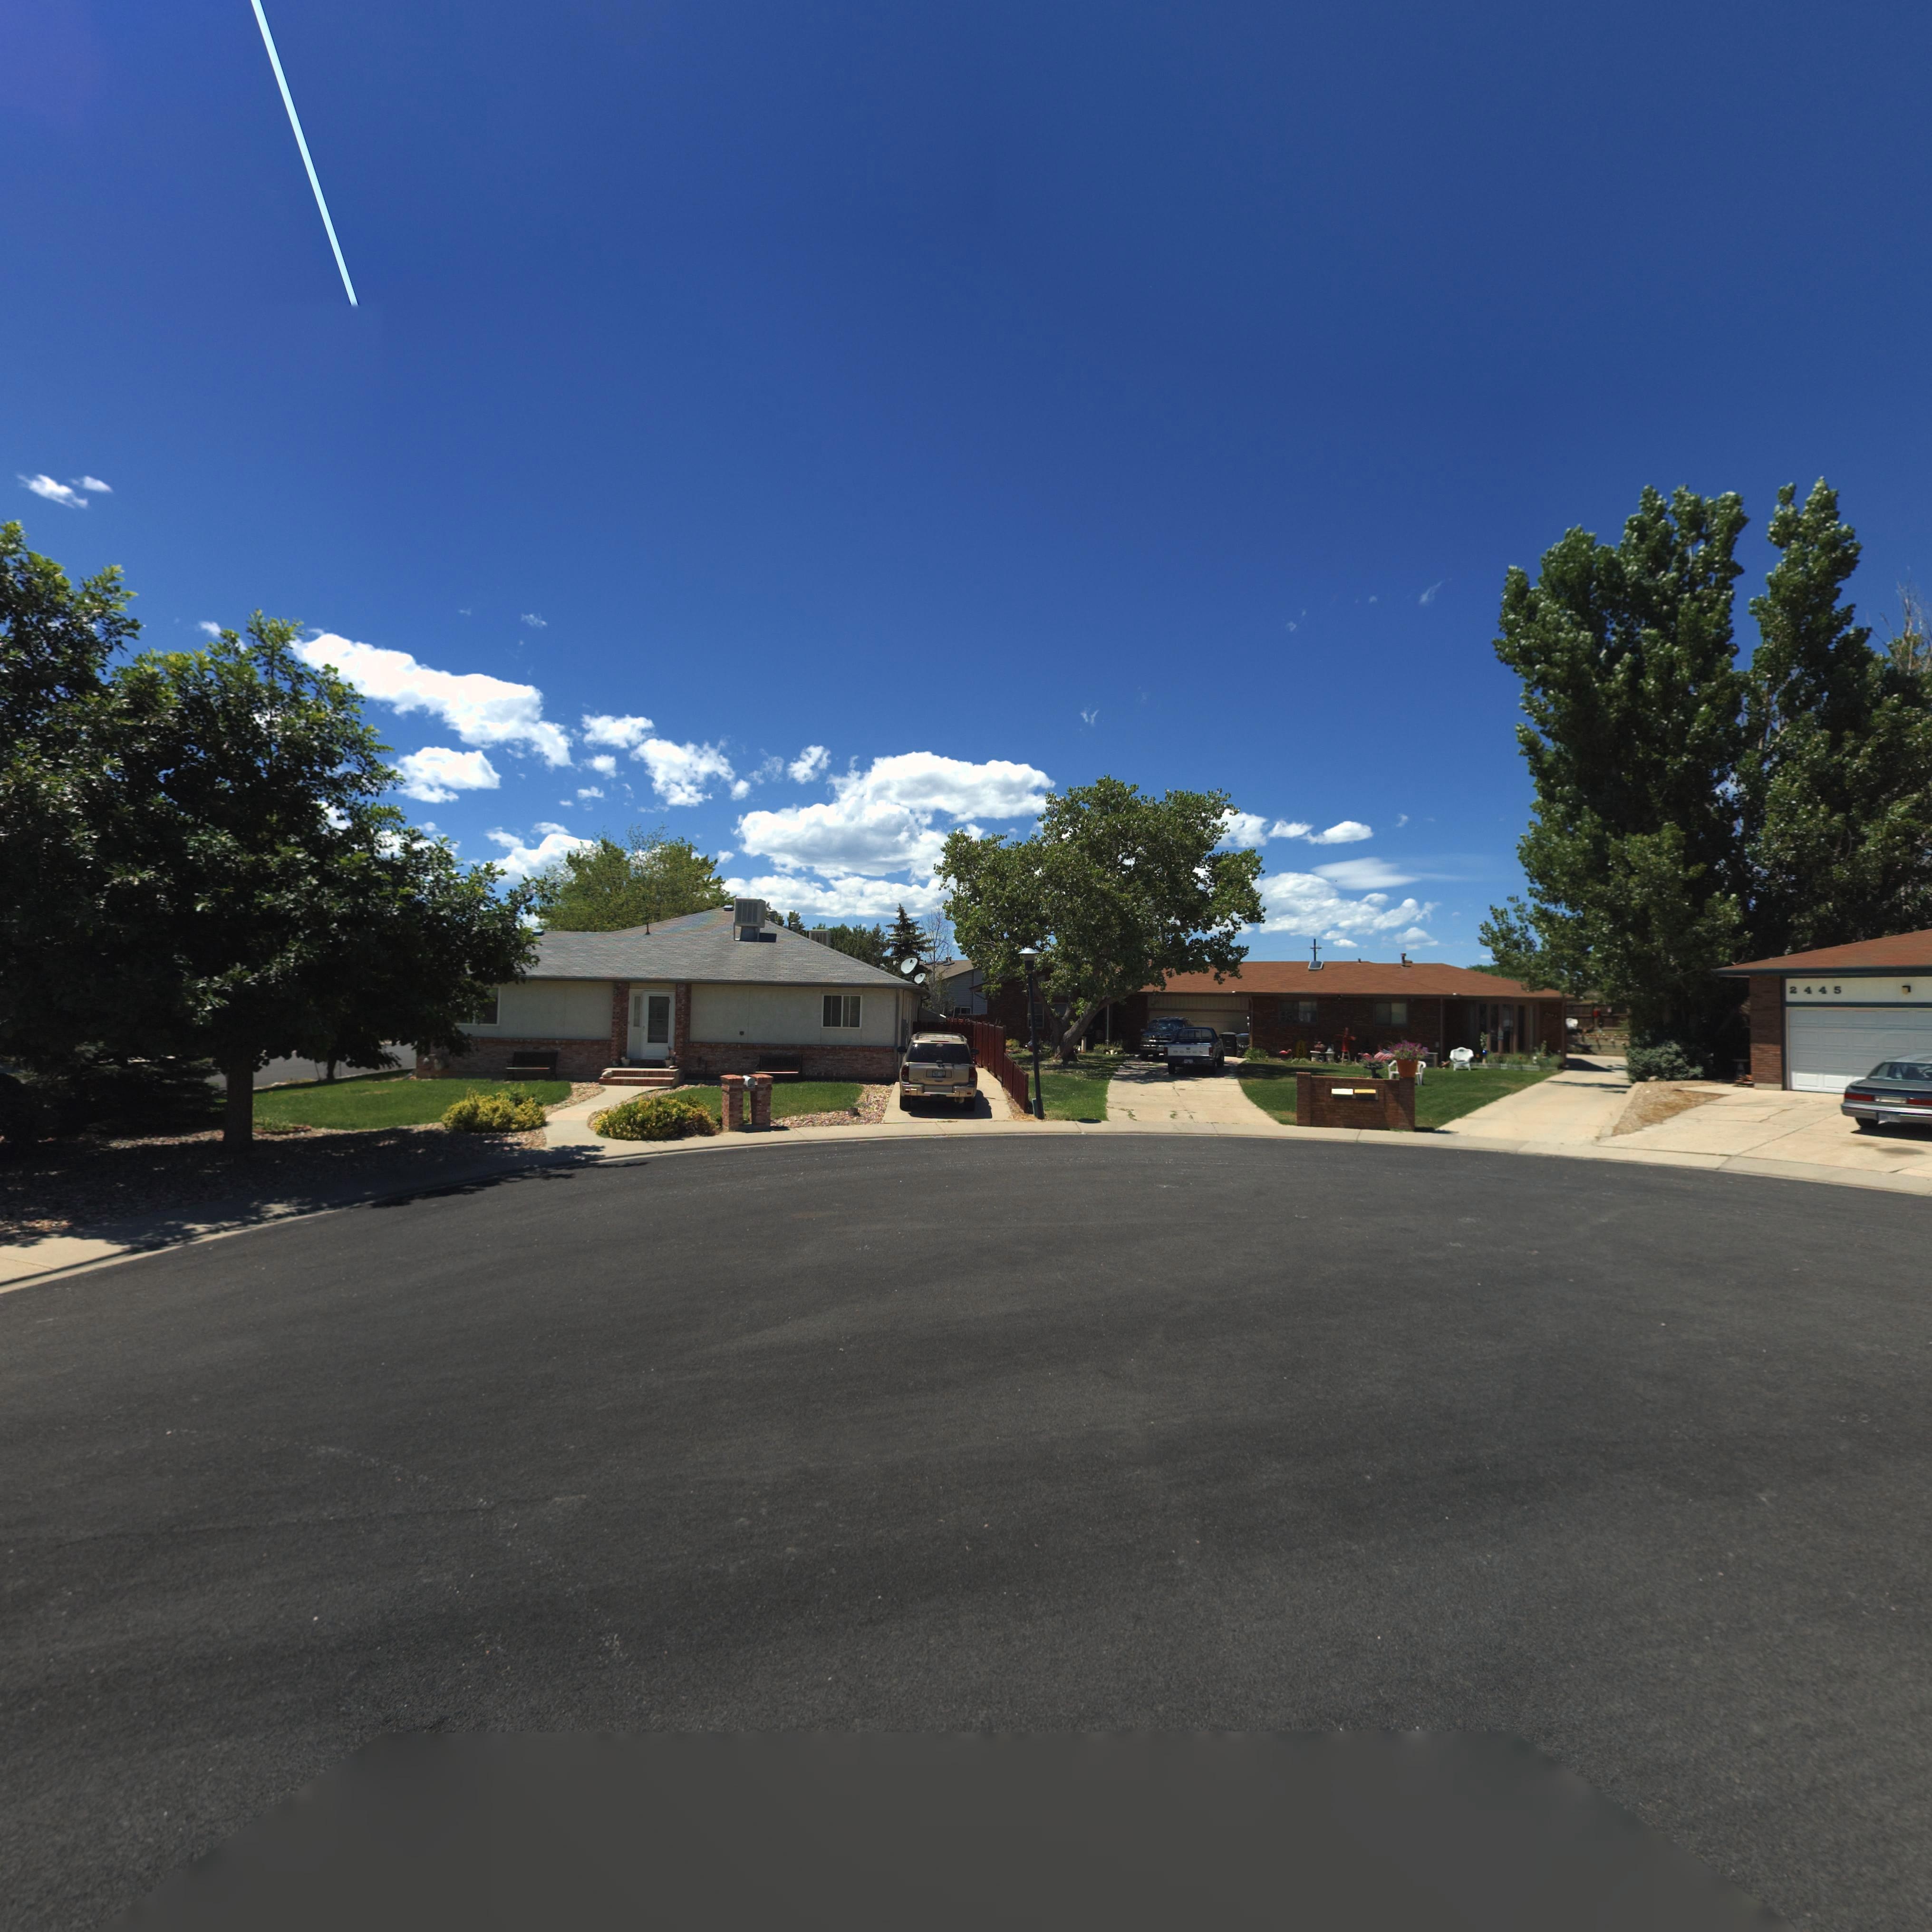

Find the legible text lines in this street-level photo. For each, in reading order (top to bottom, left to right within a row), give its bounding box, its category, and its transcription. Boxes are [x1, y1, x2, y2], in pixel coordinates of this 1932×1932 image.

[1789, 986, 1841, 994] StreetNumber: 2445